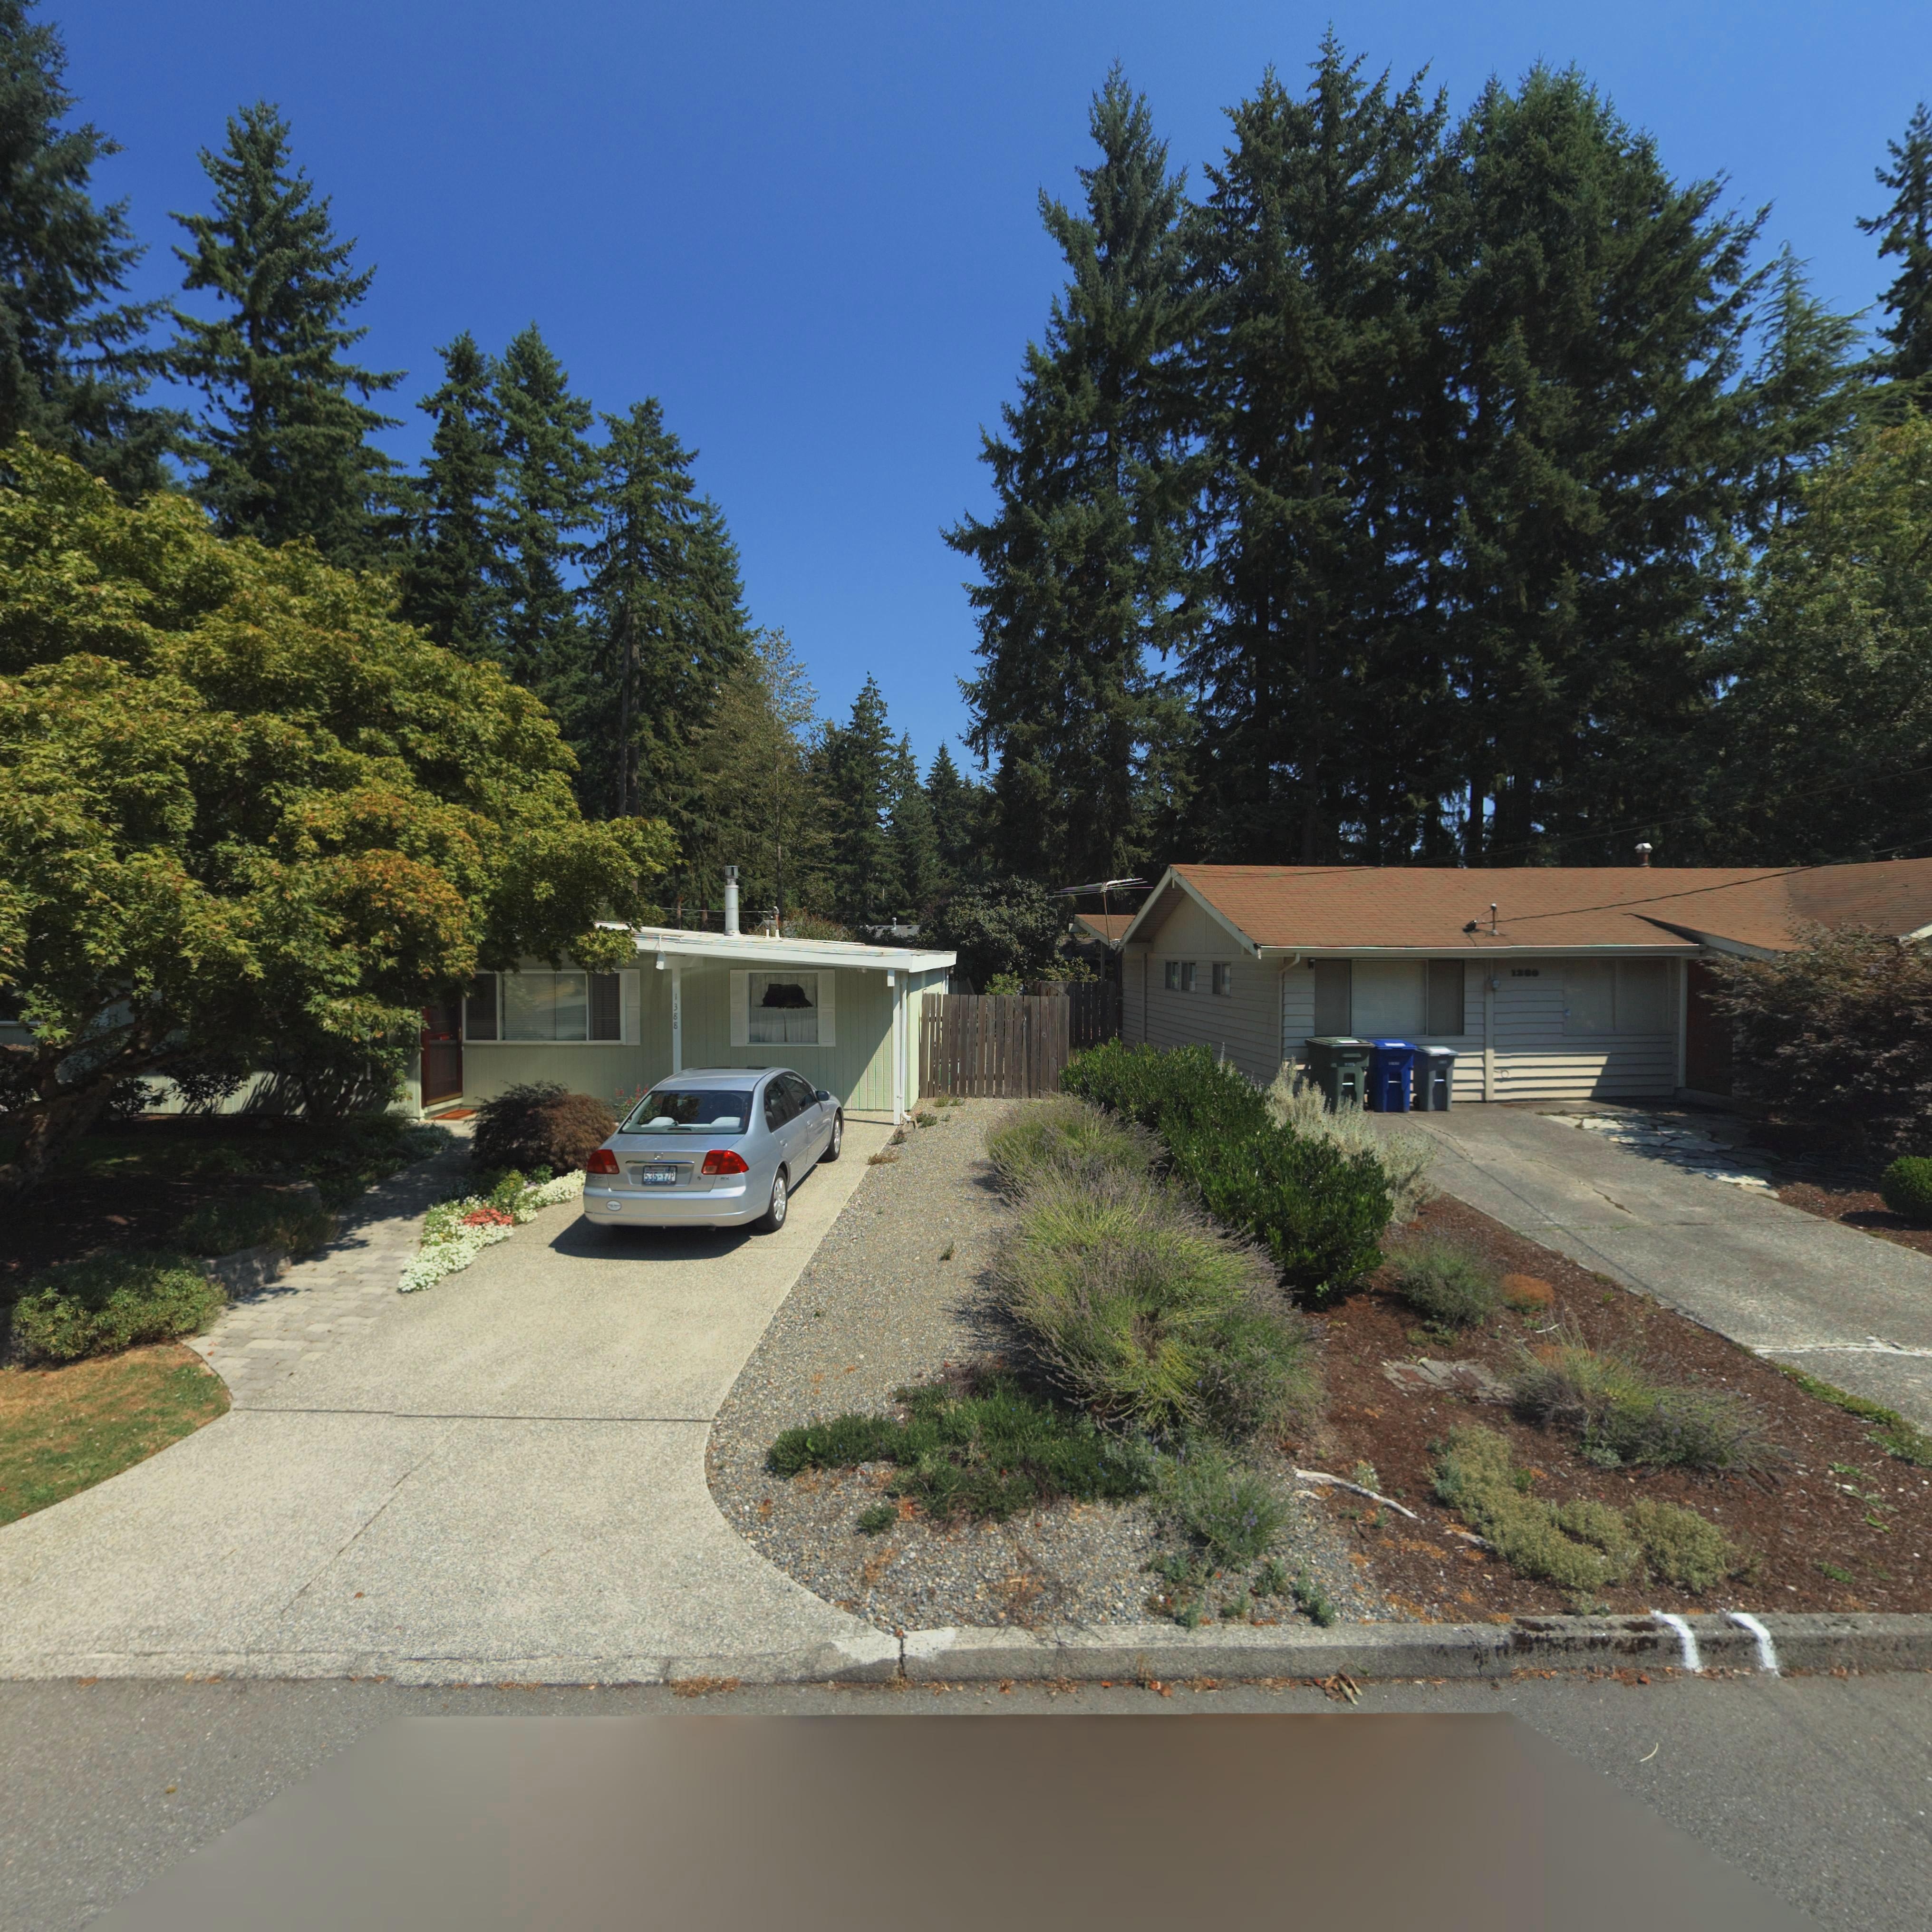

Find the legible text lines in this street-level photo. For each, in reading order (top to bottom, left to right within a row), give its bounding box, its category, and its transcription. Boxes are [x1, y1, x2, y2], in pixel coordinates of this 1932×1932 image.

[672, 991, 679, 1030] StreetNumber: 1388